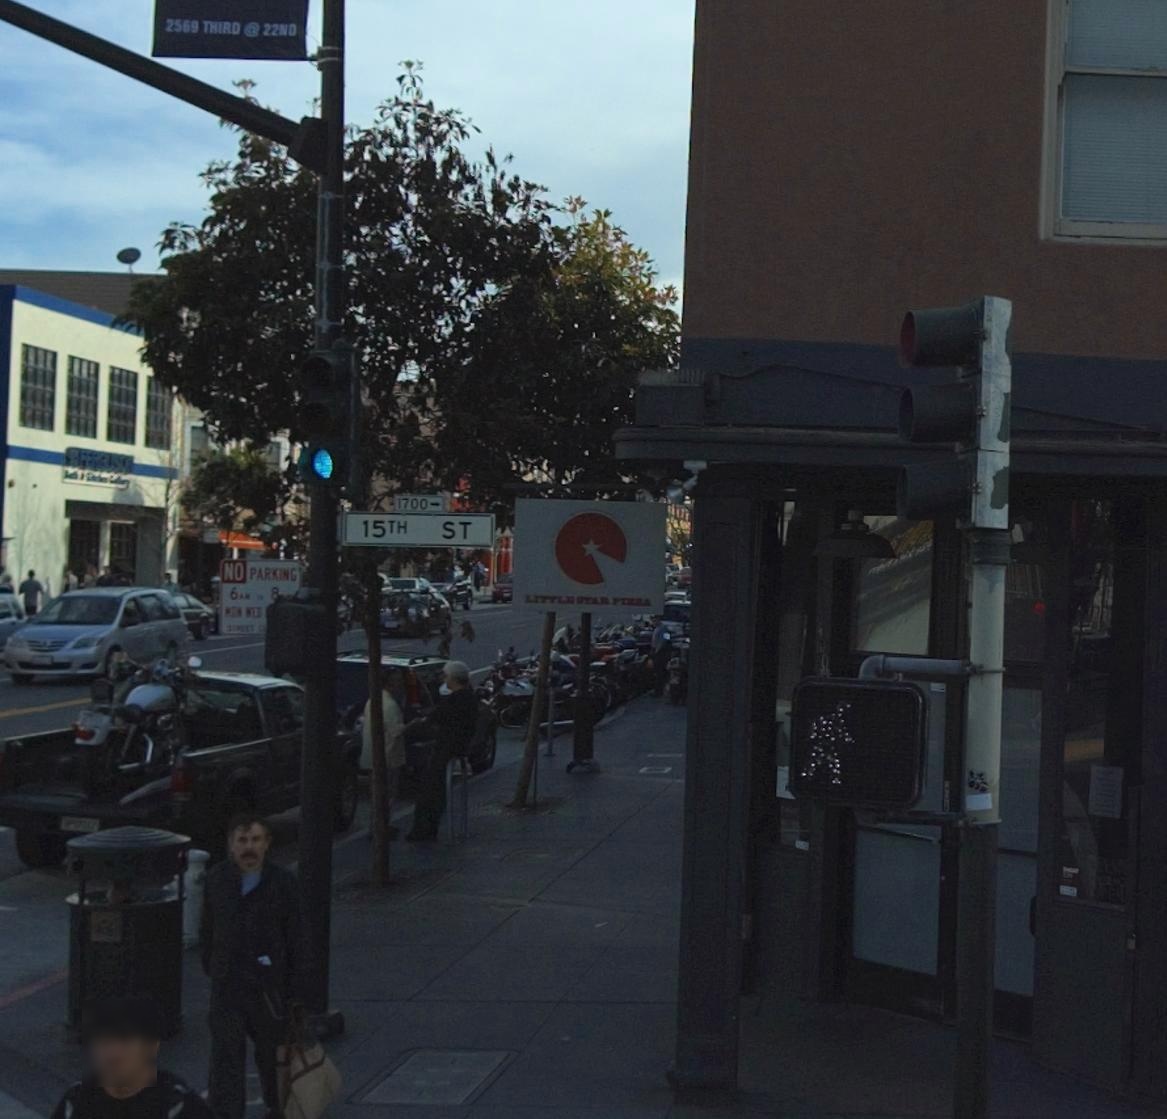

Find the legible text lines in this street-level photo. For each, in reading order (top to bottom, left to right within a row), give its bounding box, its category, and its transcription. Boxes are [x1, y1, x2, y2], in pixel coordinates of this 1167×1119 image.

[162, 15, 303, 40] None: 2569 THIRD @ 22ND
[394, 494, 443, 512] StreetNumberRange: 1700 *
[359, 516, 477, 543] StreetName: 15TH ST
[221, 559, 302, 585] None: NO PARKING
[227, 583, 241, 602] None: 6
[269, 583, 283, 603] None: 8
[523, 592, 653, 609] BusinessName: LITTLE STAR PIZZA